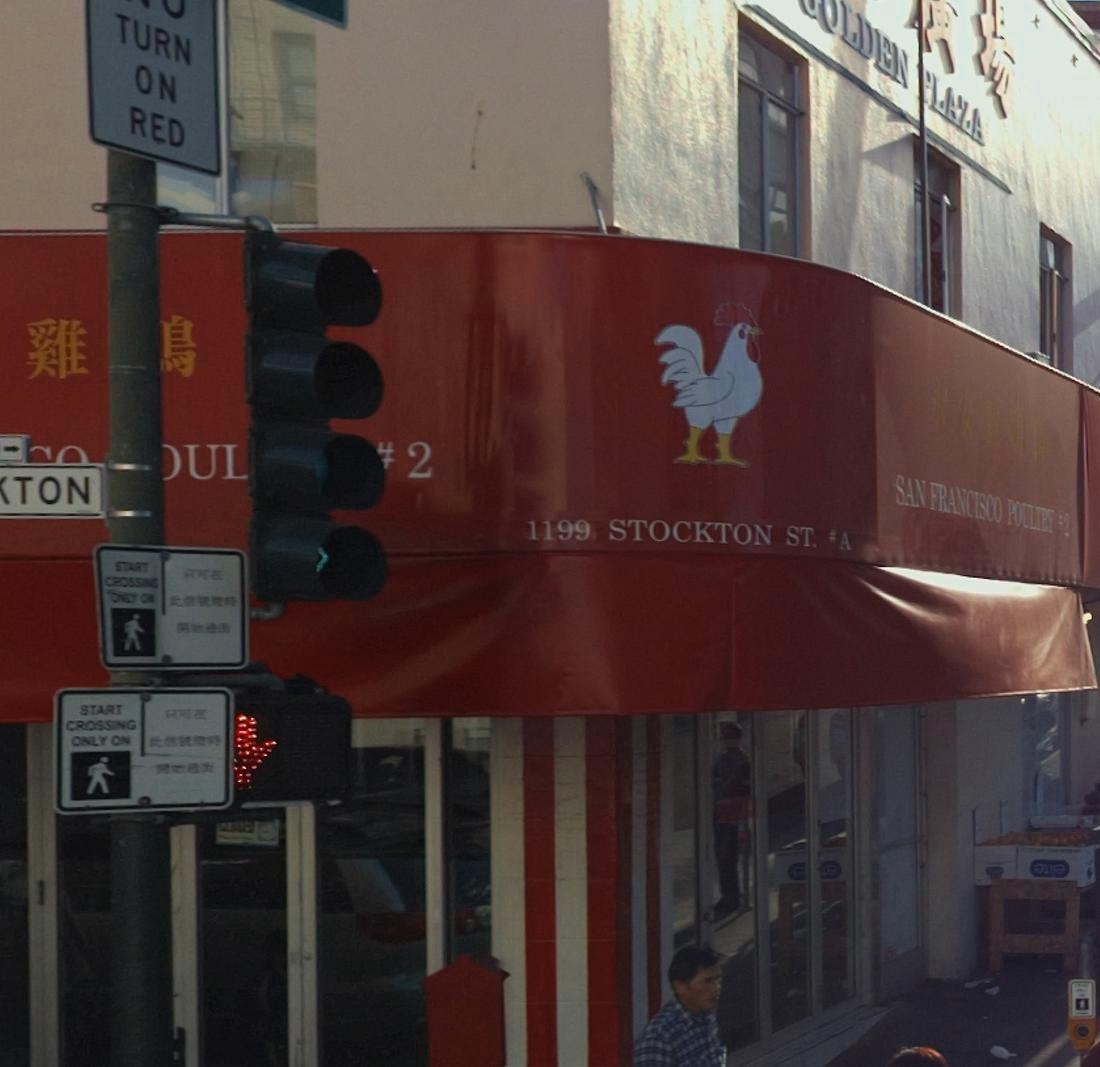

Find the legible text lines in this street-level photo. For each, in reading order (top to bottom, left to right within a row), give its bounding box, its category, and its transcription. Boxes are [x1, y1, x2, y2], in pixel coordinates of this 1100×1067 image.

[114, 10, 193, 70] None: TURN
[133, 62, 178, 107] None: ON
[841, 0, 987, 149] None: LDEN *LAZA
[128, 103, 187, 152] None: RED
[182, 442, 250, 482] None: UL
[405, 439, 435, 480] None: 2
[10, 474, 92, 507] StreetName: TON
[891, 470, 1057, 540] BusinessName: SAN FRANCISCO PAULTRY
[526, 519, 592, 542] StreetNumber: 1199
[607, 517, 819, 549] StreetName: STOCKTON ST.
[826, 528, 854, 552] StreetNumber: #A
[114, 560, 150, 573] None: START\
[105, 575, 159, 589] None: CROSSING
[108, 591, 157, 604] None: ONLY ON
[64, 718, 137, 732] None: CROSSING
[79, 703, 123, 717] None: START
[71, 734, 132, 747] None: ONLY ON